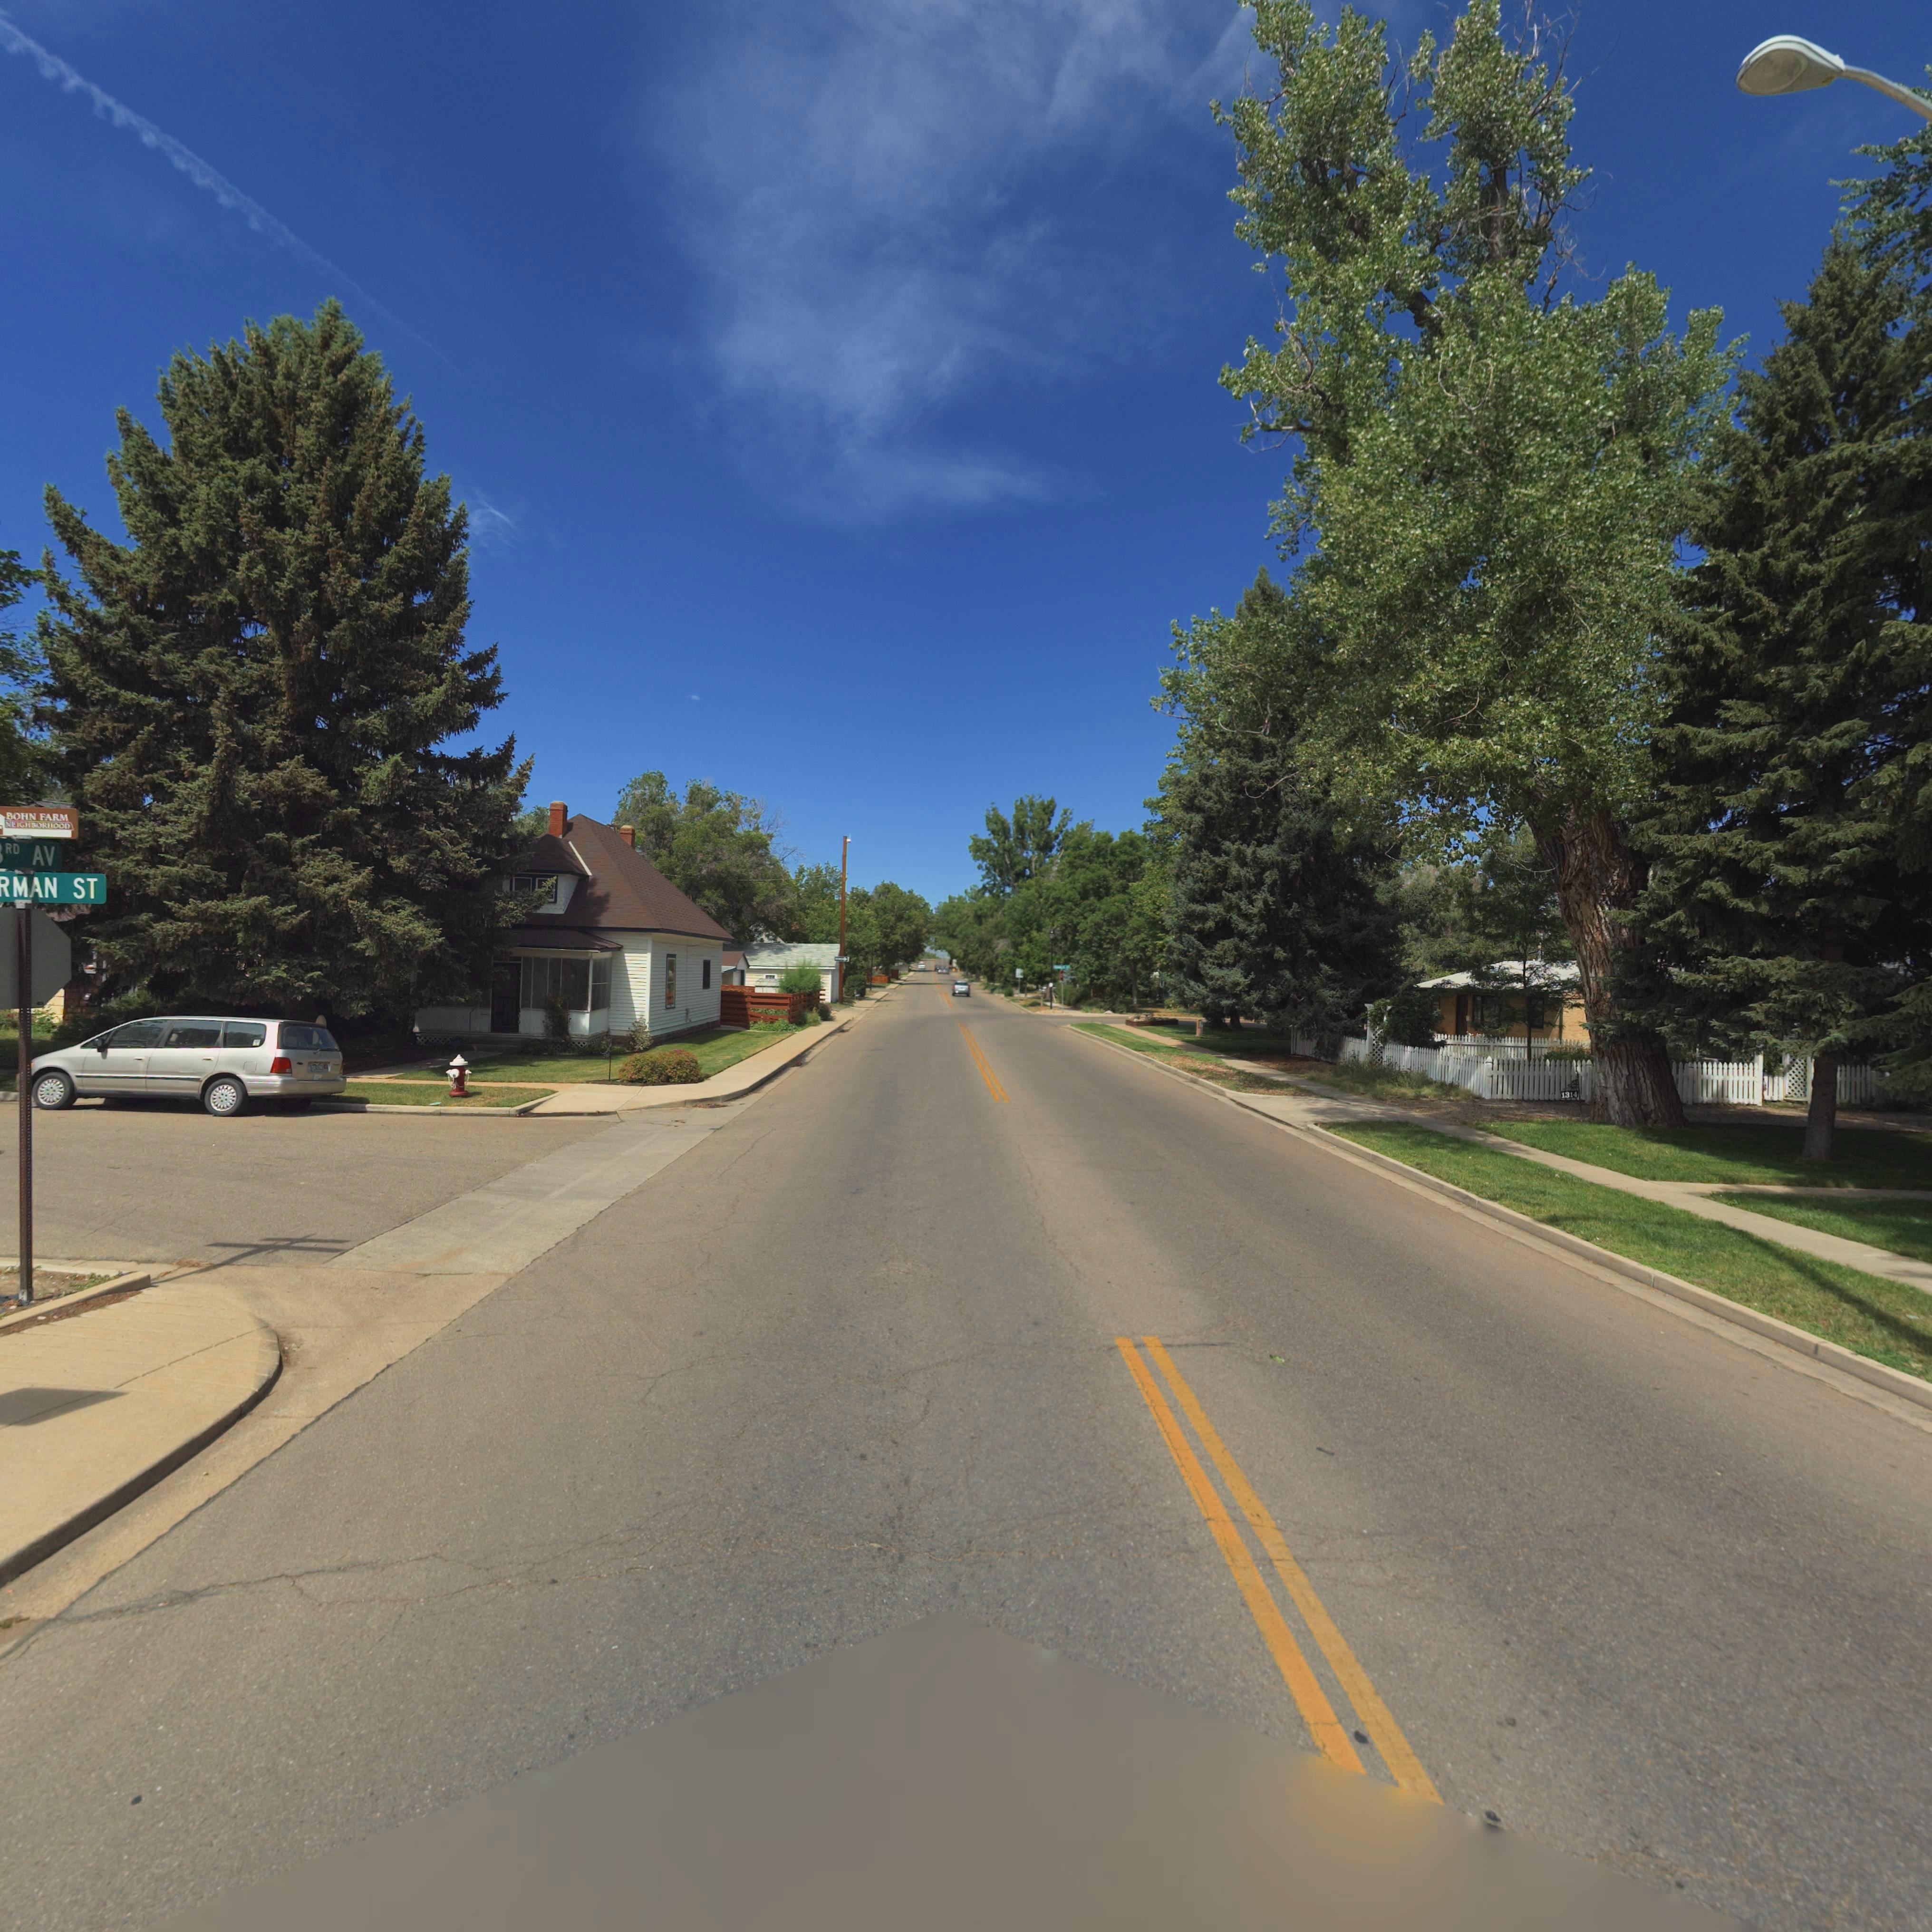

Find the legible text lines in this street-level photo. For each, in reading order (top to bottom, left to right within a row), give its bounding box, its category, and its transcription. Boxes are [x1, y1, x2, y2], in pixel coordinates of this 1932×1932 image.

[5, 842, 55, 866] StreetName: RD AV
[13, 876, 97, 899] StreetName: MAN ST
[1561, 1091, 1577, 1098] StreetNumber: 1314